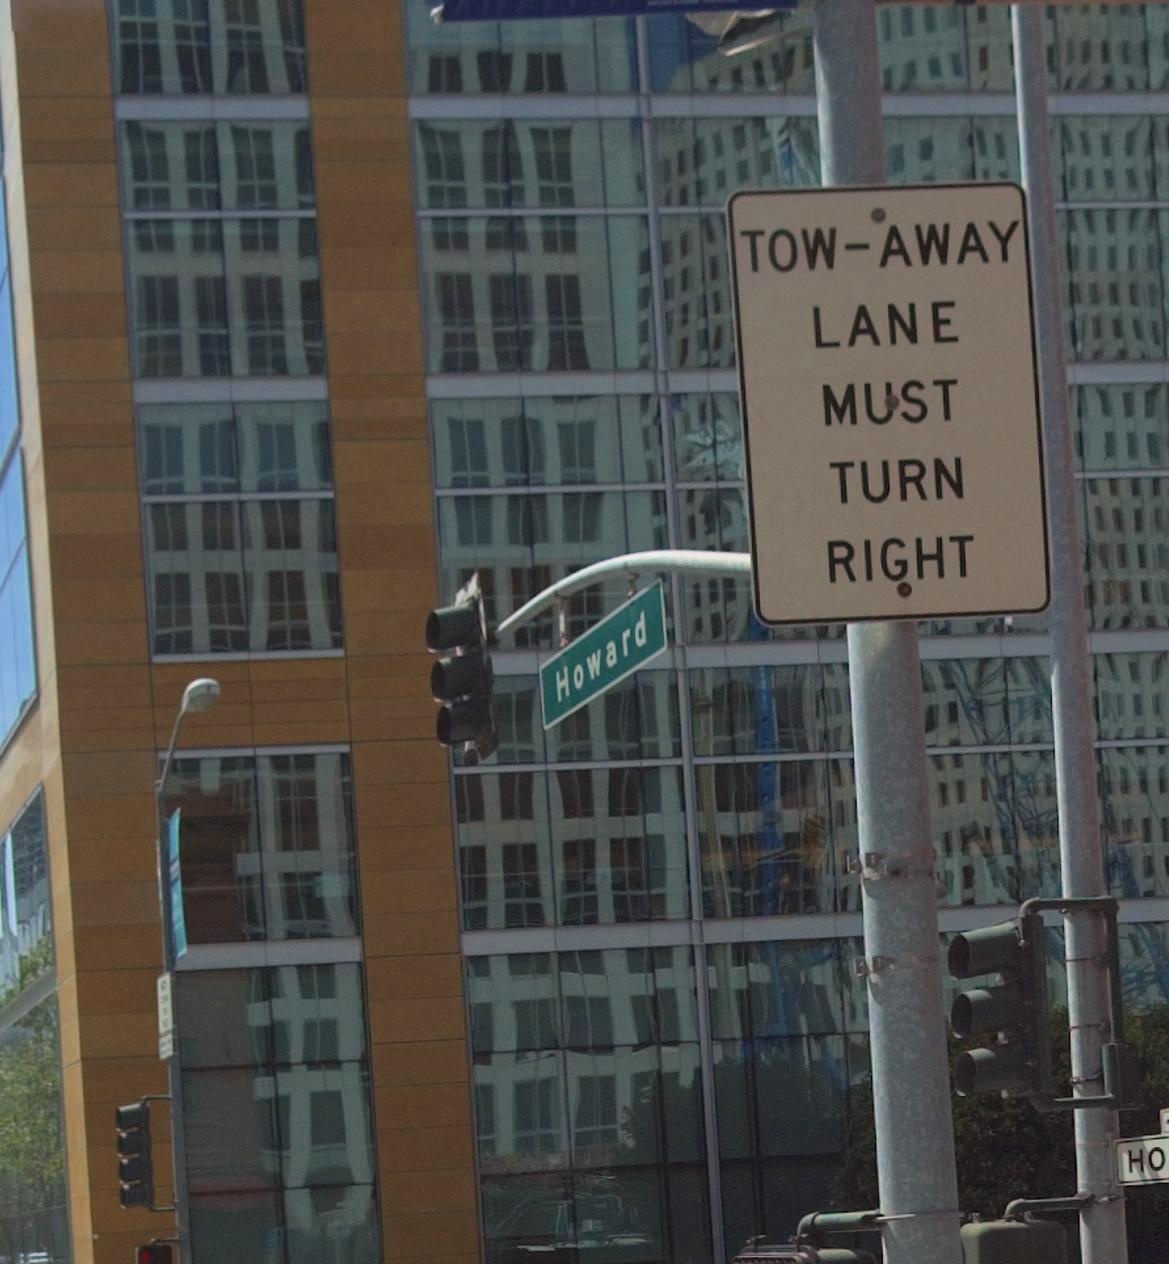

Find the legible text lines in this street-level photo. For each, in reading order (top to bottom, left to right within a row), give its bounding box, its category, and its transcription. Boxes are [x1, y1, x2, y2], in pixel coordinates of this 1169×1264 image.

[737, 217, 1022, 275] None: TOW-AWAY
[809, 297, 964, 353] None: LANE
[819, 377, 961, 429] None: MUST
[825, 456, 967, 506] None: TURN
[824, 533, 976, 584] None: RIGHT
[553, 607, 651, 706] StreetName: Howard
[1126, 1146, 1167, 1174] None: HO